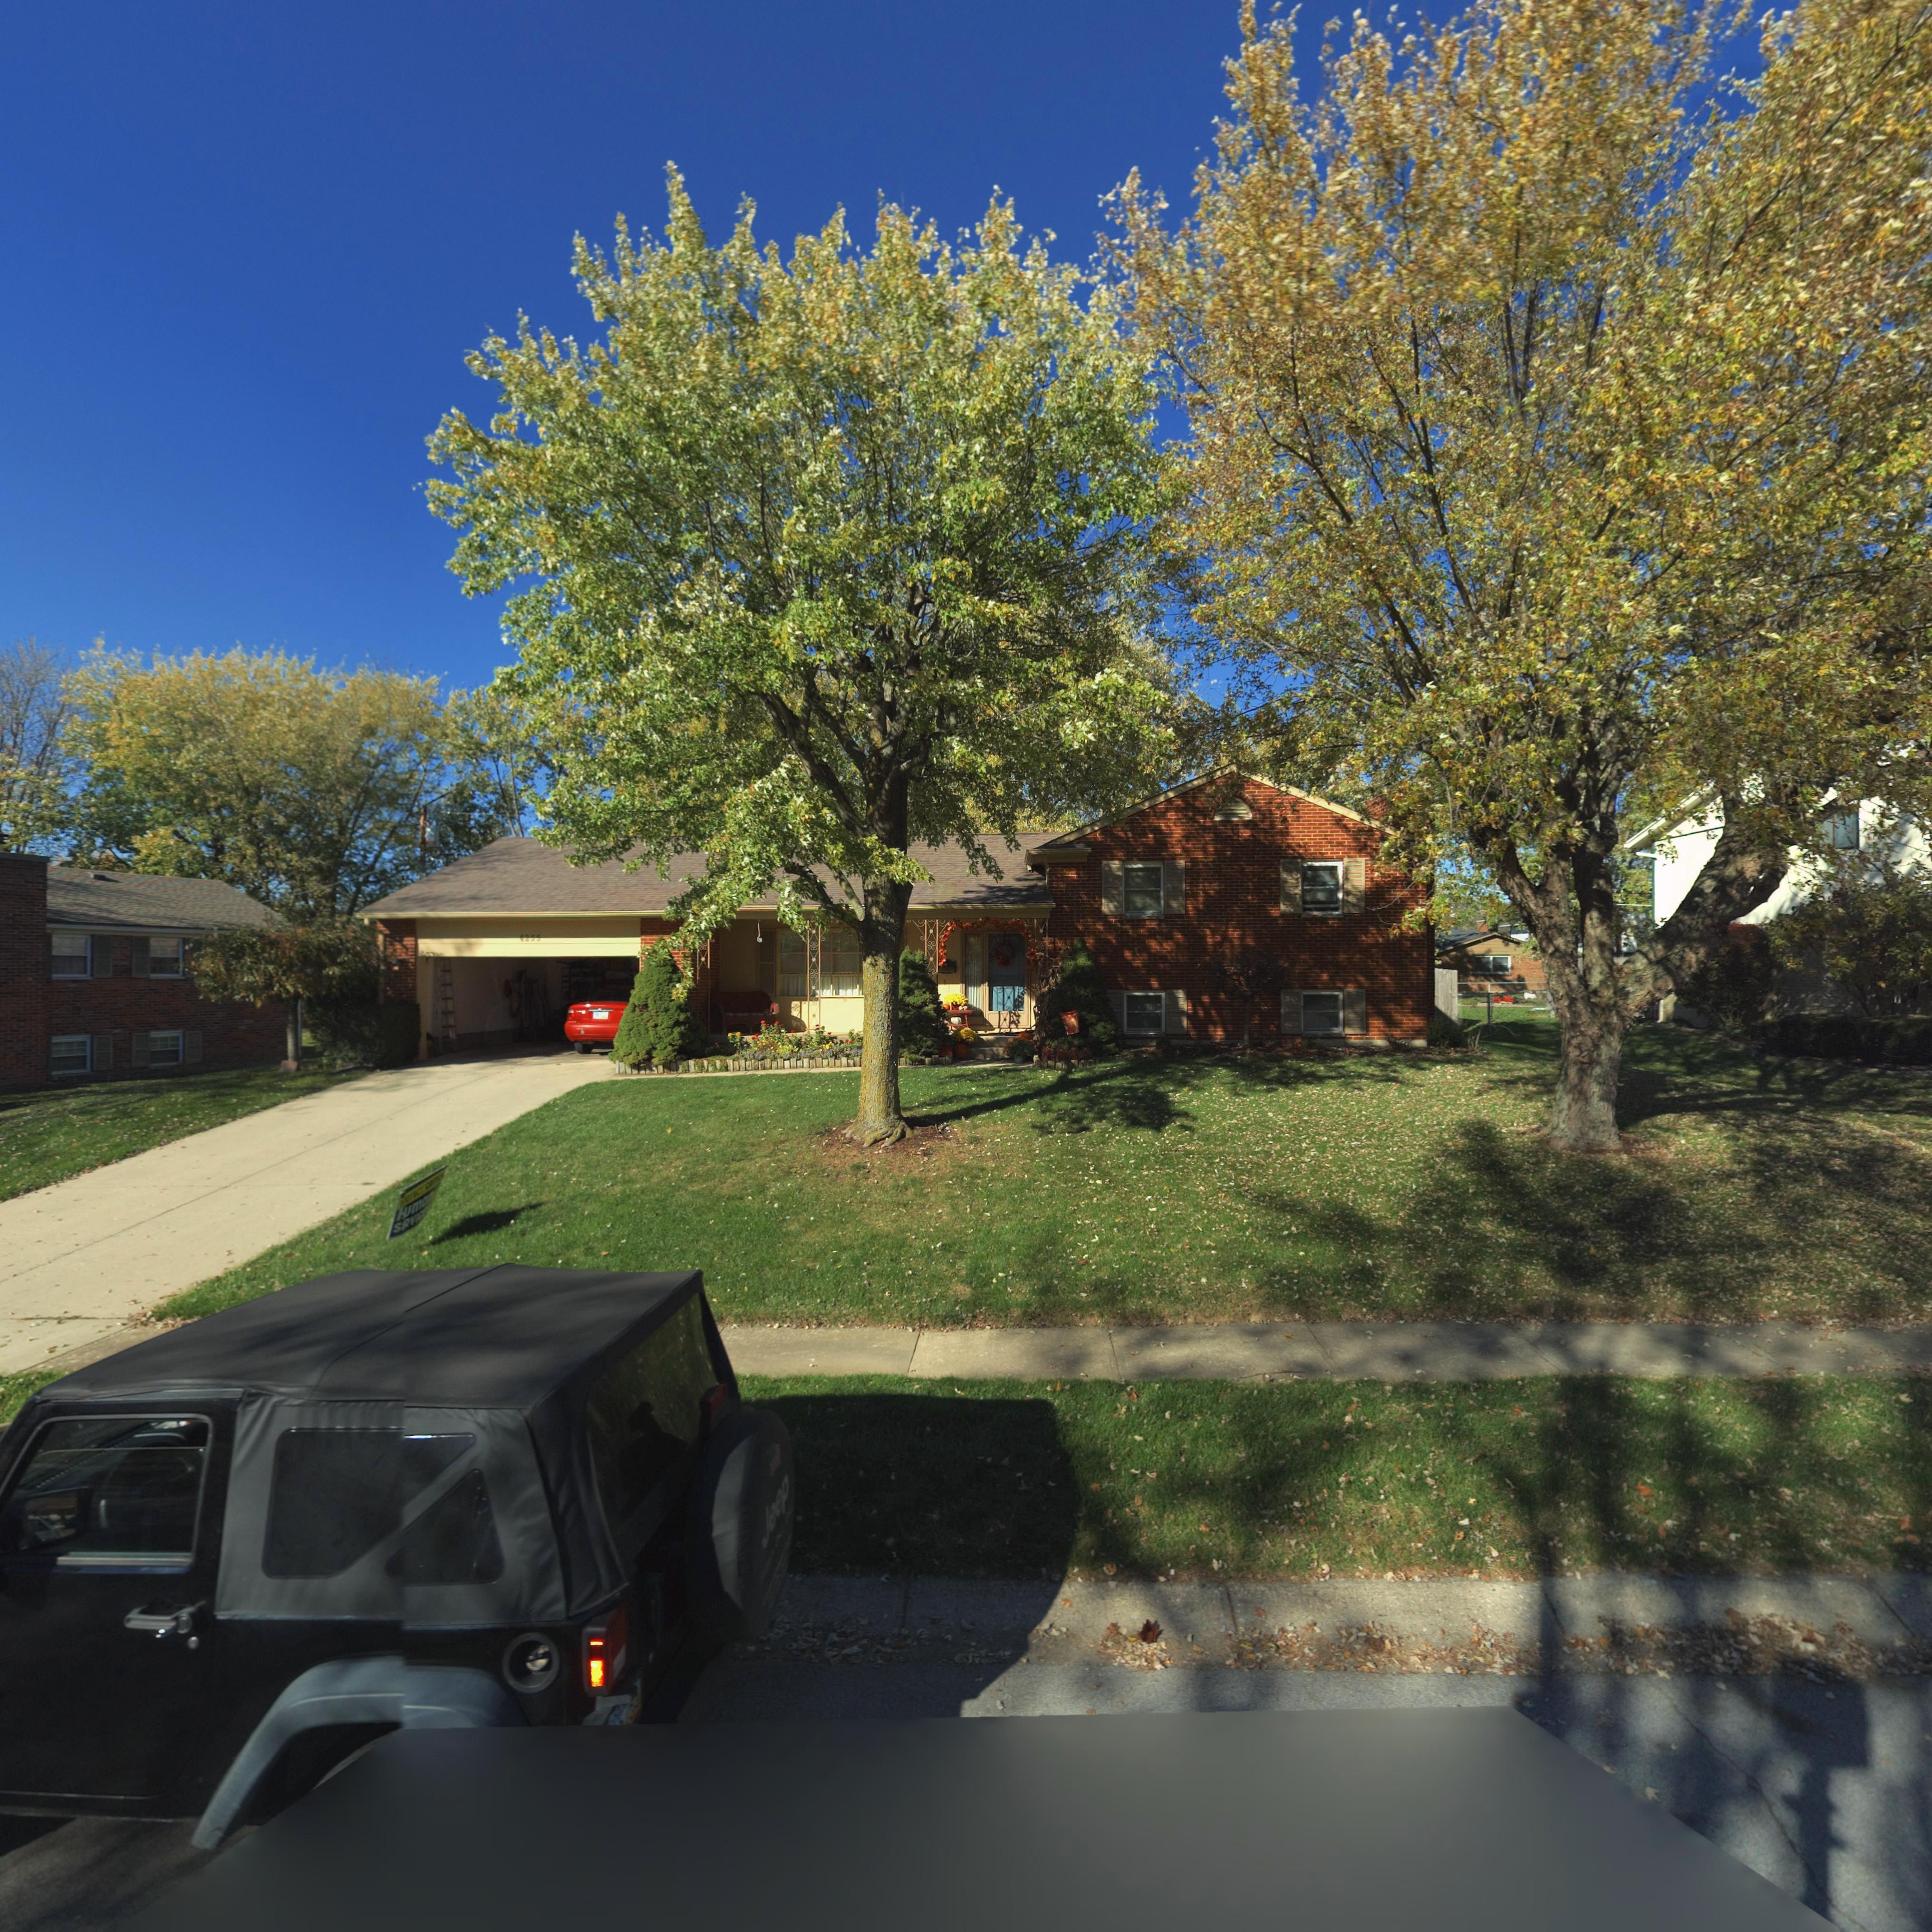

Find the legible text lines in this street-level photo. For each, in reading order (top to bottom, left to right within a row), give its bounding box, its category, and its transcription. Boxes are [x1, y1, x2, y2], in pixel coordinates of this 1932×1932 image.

[518, 933, 542, 943] StreetNumber: 4255
[396, 1193, 429, 1223] None: Huma
[391, 1211, 420, 1236] None: S*RVI